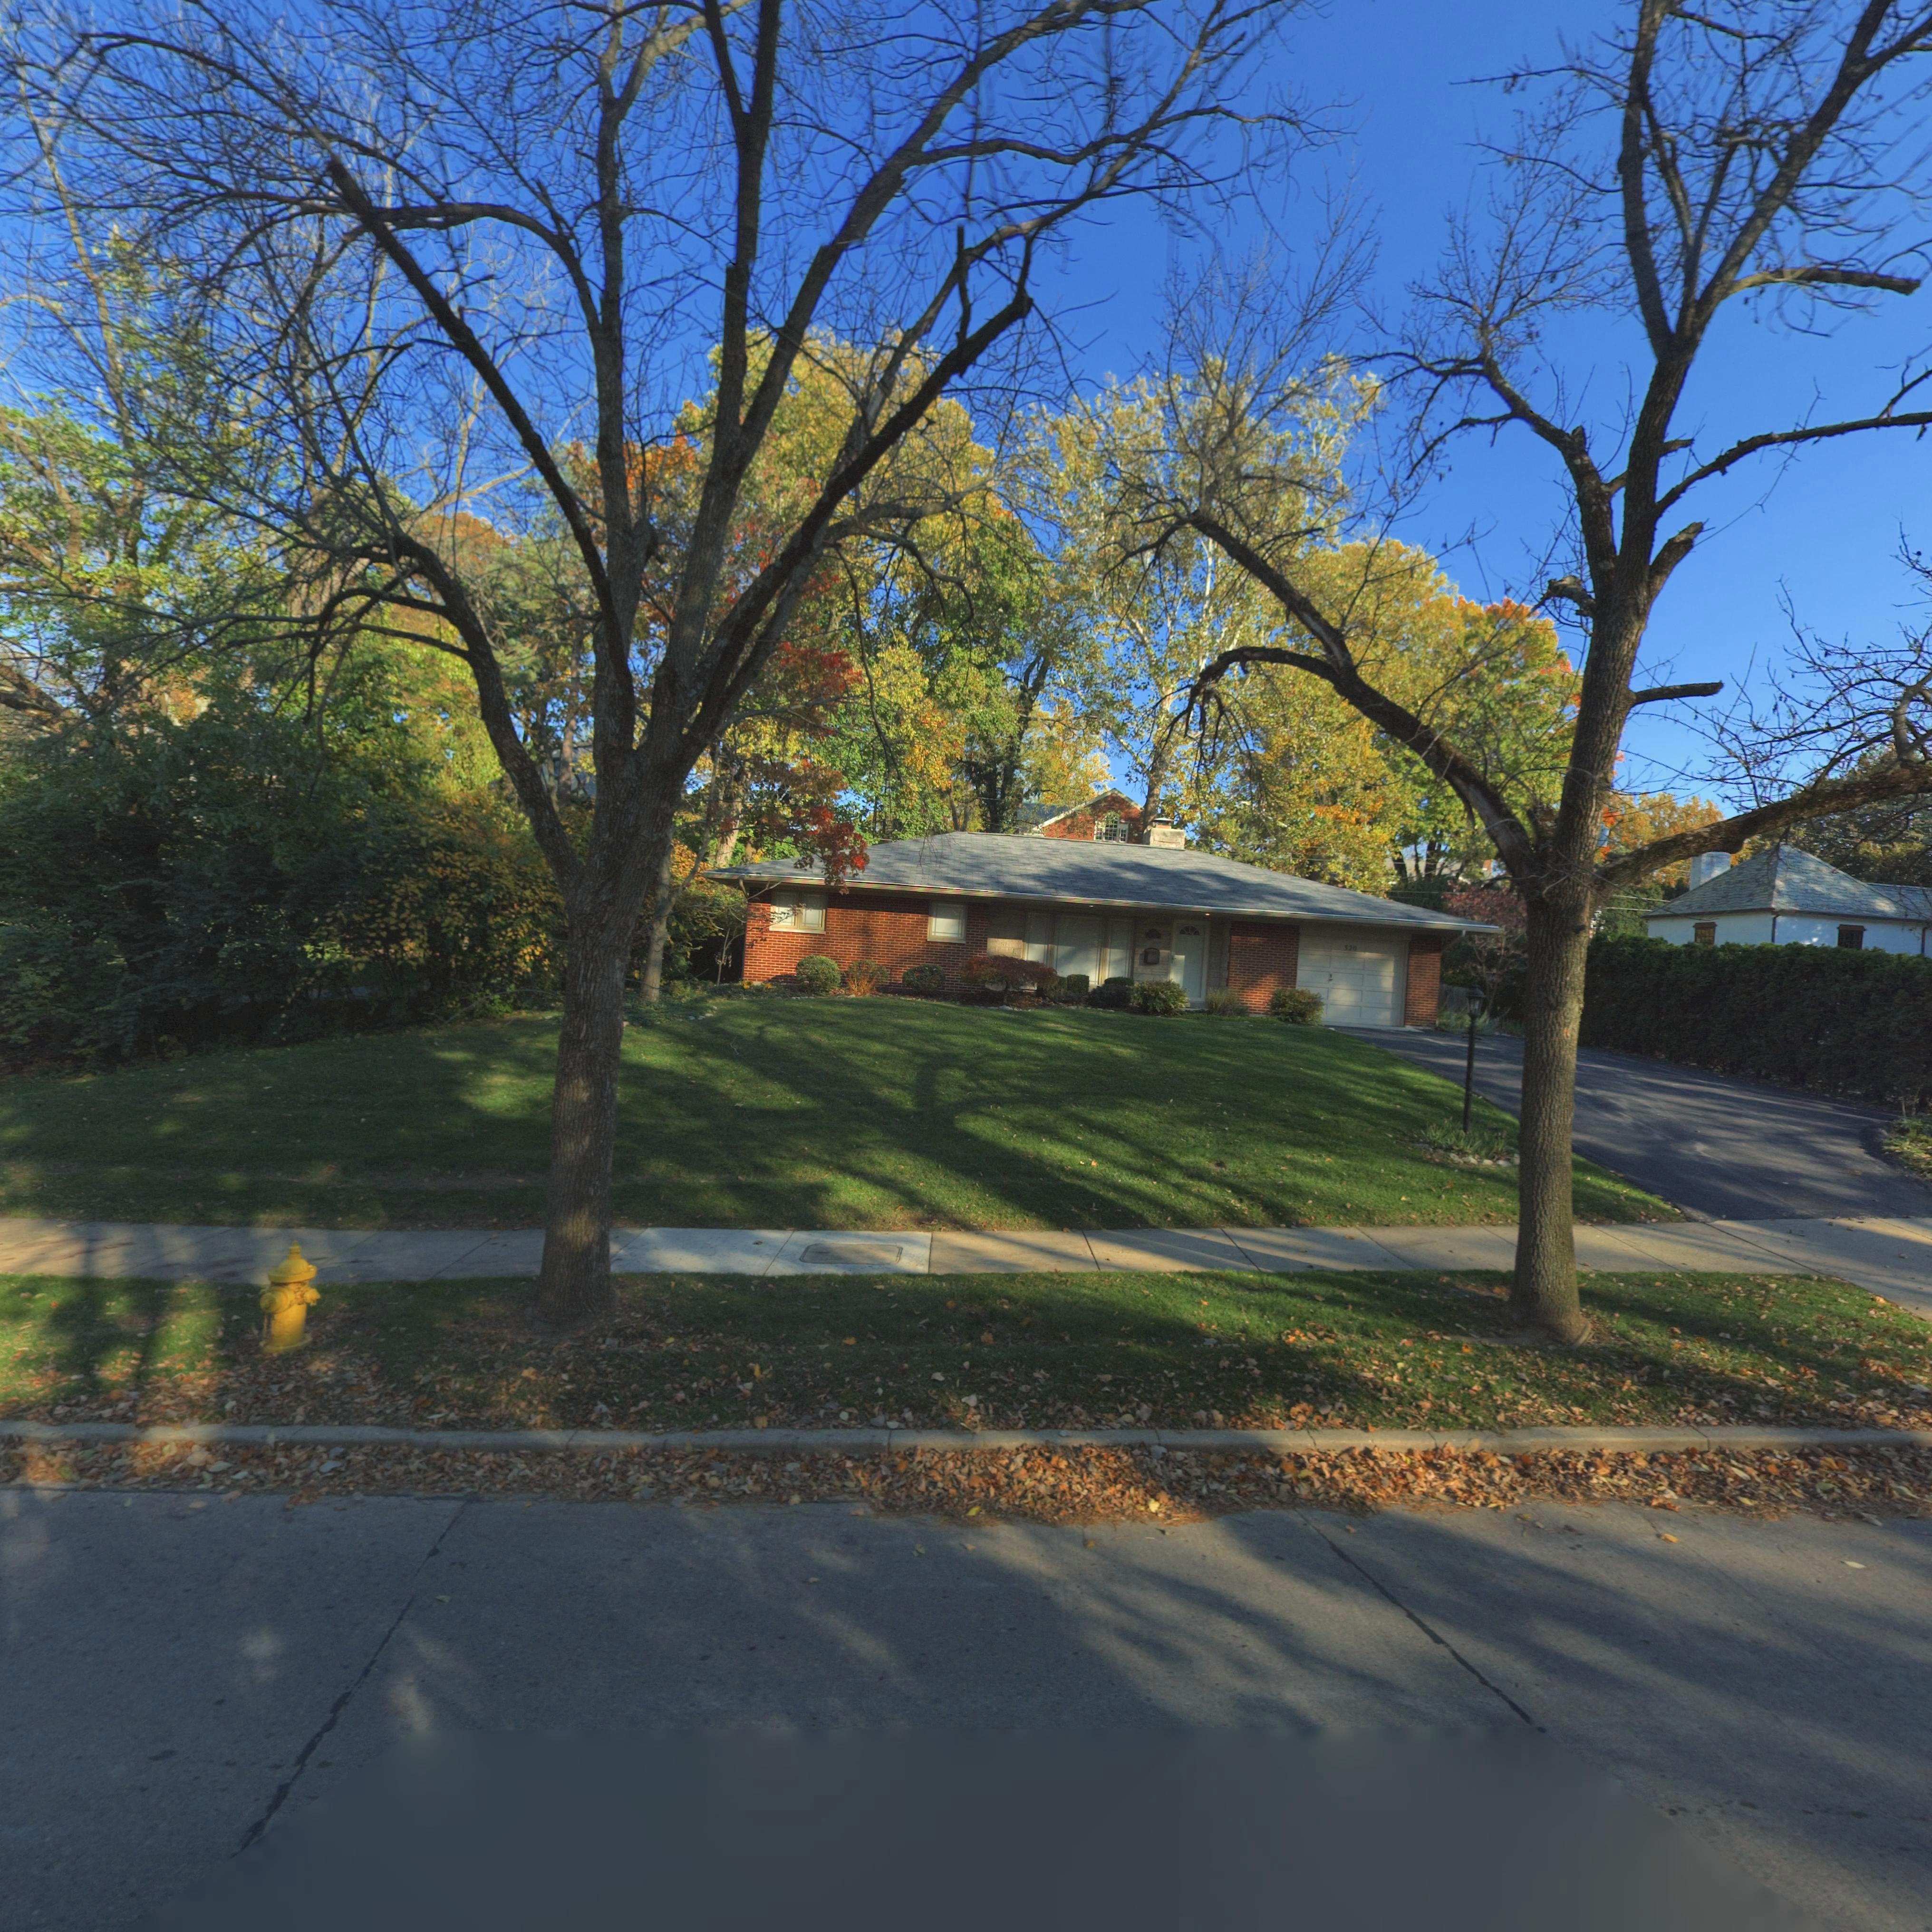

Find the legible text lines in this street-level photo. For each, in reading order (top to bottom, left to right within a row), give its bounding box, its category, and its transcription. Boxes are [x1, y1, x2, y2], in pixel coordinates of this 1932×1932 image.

[1341, 944, 1359, 952] StreetNumber: 320